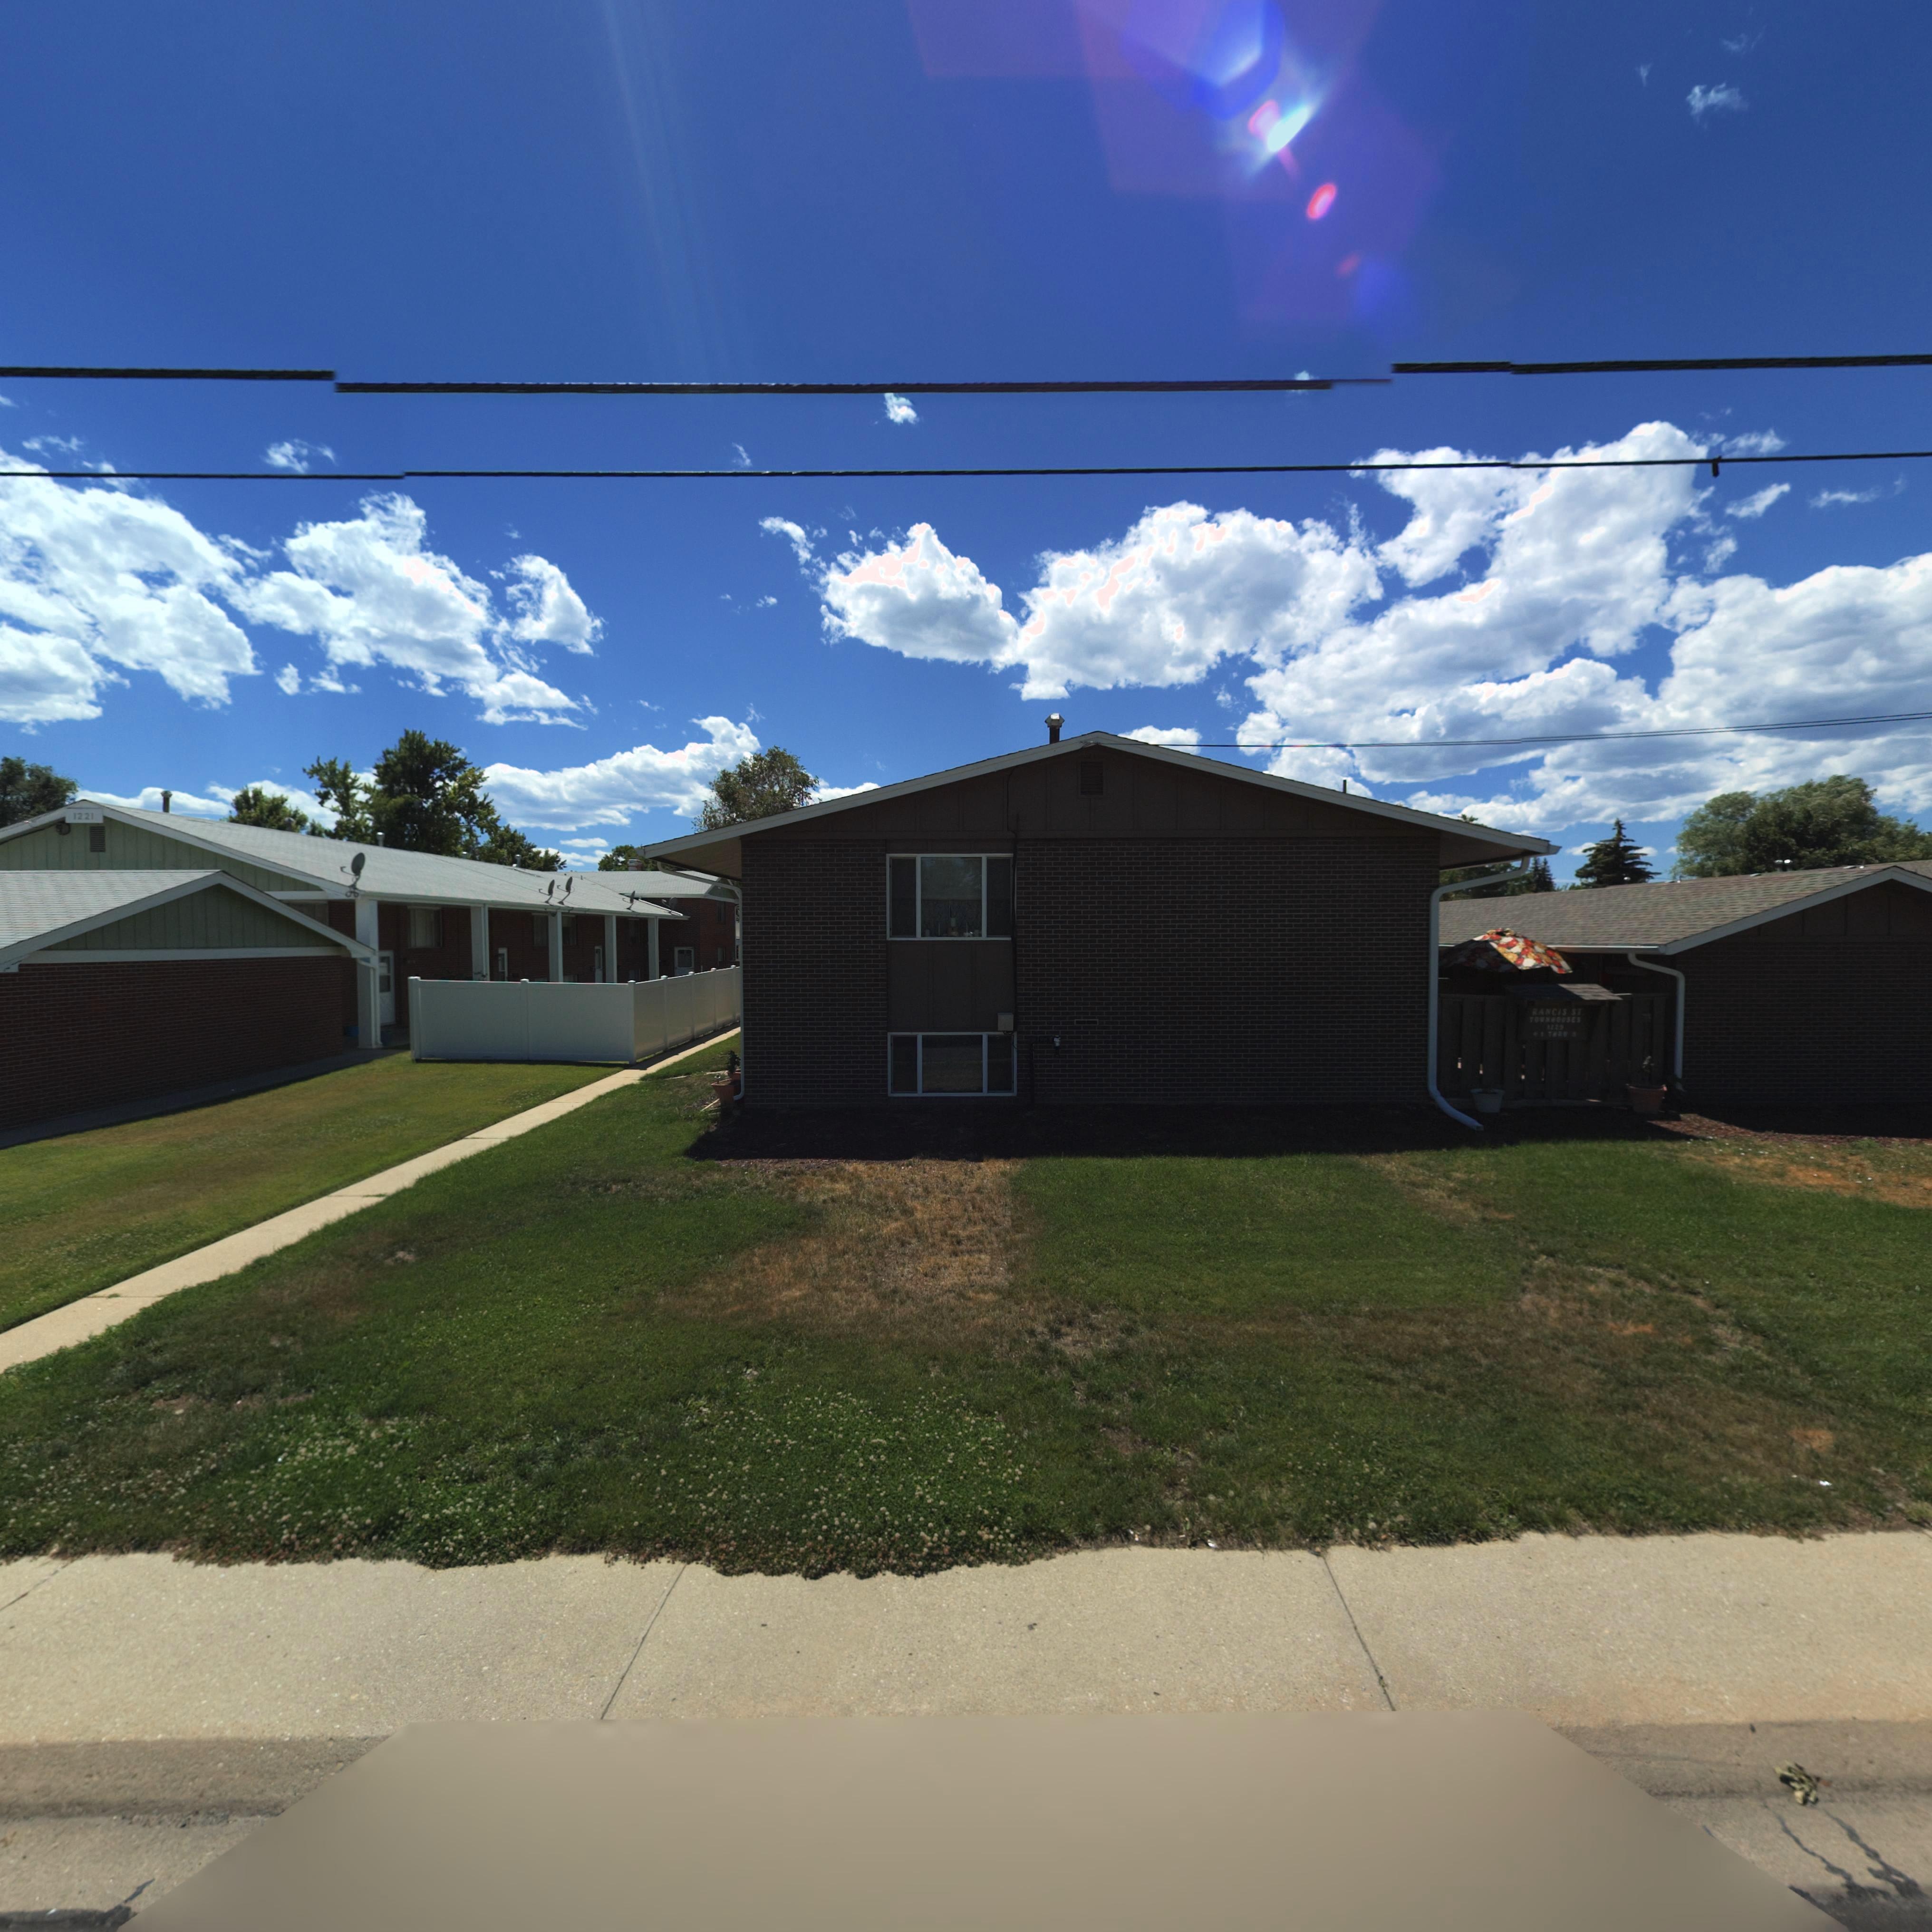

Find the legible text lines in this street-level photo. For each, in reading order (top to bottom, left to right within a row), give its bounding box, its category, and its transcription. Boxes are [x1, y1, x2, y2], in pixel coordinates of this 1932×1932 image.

[73, 812, 93, 820] StreetNumber: 1221
[1532, 1008, 1584, 1015] BusinessName: RANCIS ST.
[1547, 1024, 1564, 1030] StreetNumber: 12*9